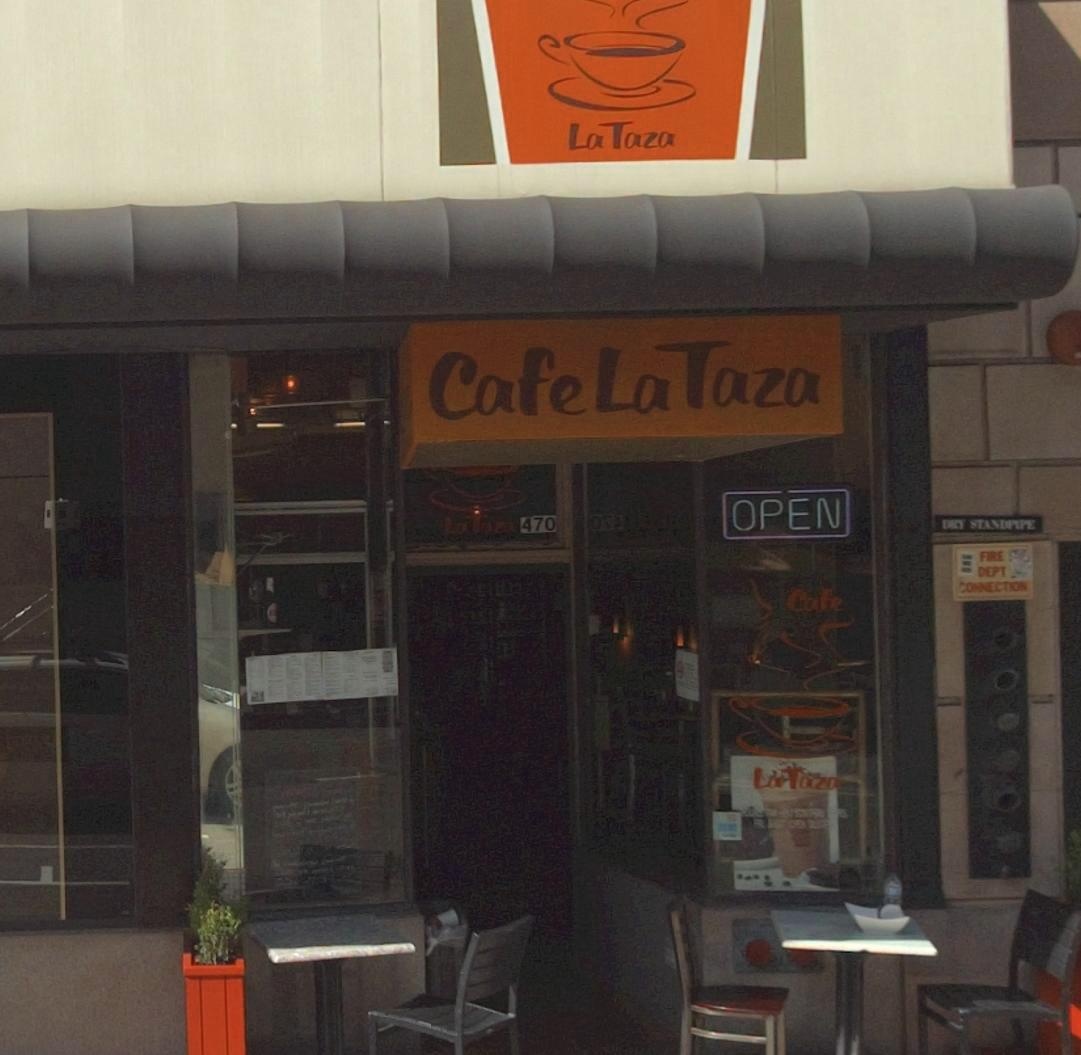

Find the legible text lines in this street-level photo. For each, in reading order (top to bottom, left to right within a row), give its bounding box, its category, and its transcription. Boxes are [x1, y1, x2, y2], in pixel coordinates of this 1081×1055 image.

[564, 117, 680, 153] BusinessName: La Taza
[421, 335, 828, 422] BusinessName: Cafe La Taza
[523, 516, 557, 532] StreetNumber: 470
[729, 495, 844, 533] None: OPEN
[978, 549, 1006, 562] None: FIRE
[977, 565, 1008, 579] None: DEPT
[958, 578, 1030, 594] None: CONNECTION
[784, 585, 846, 614] None: Cafe
[752, 765, 845, 791] BusinessName: La Taza